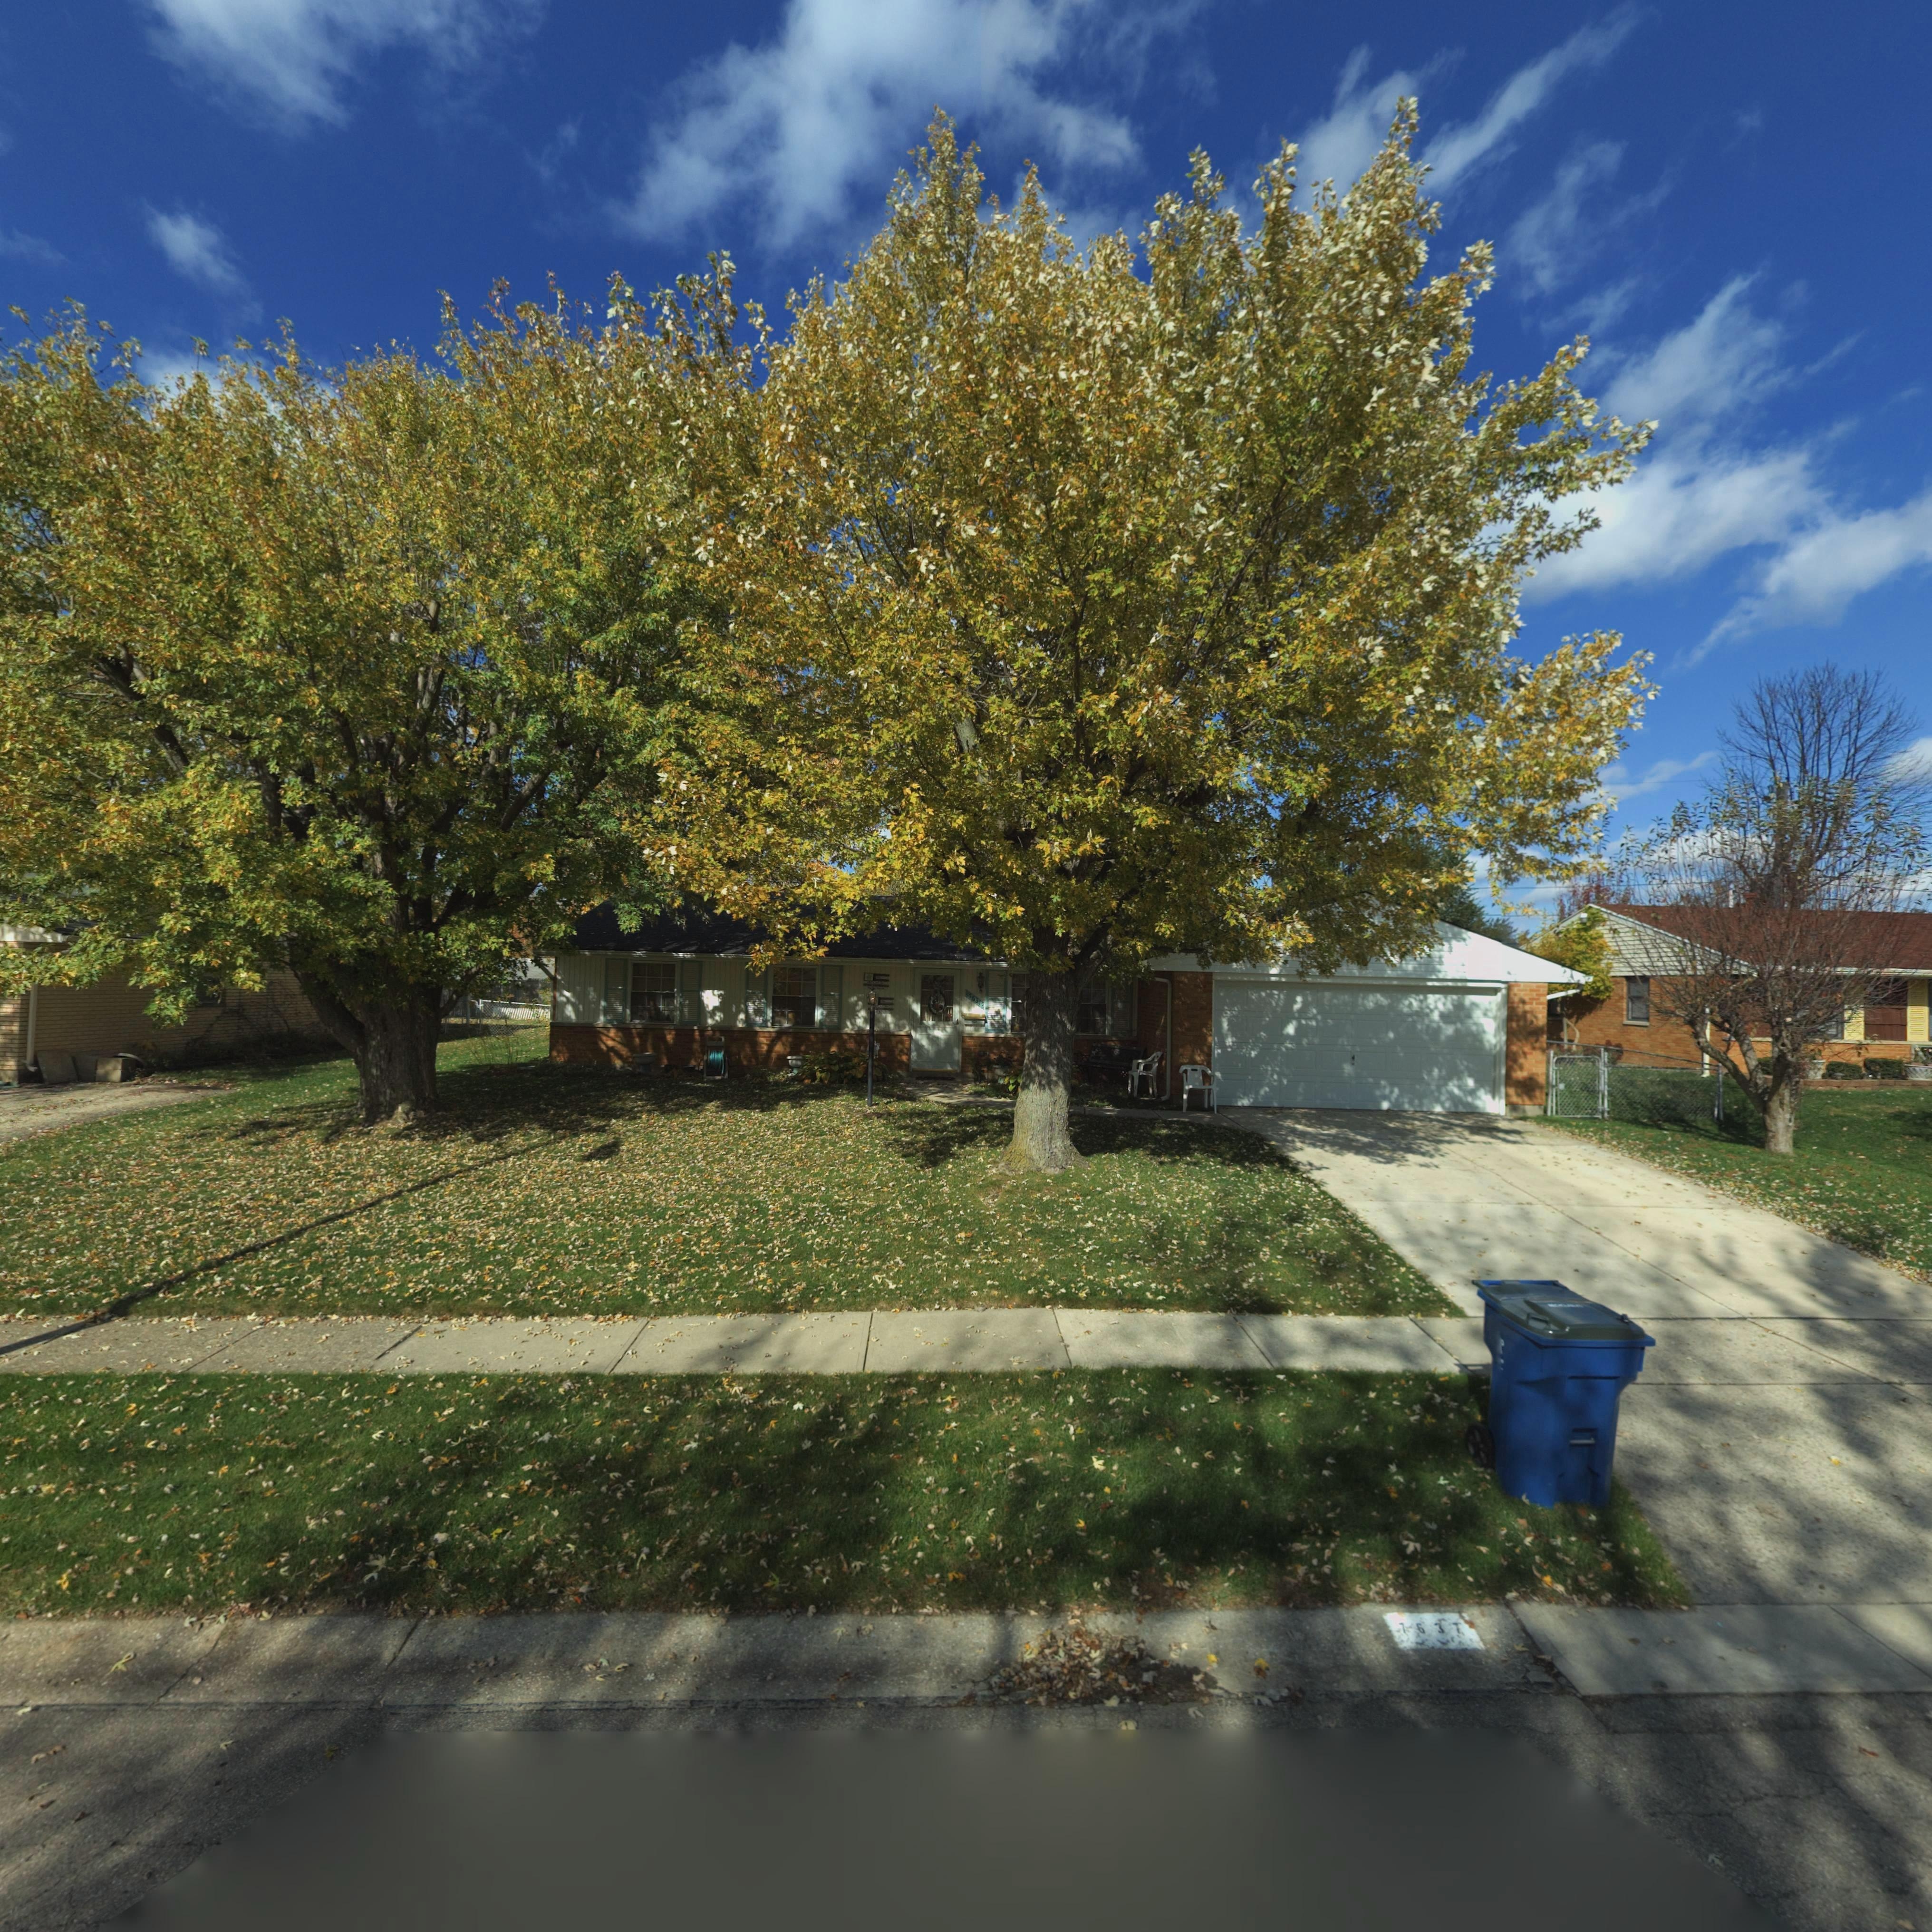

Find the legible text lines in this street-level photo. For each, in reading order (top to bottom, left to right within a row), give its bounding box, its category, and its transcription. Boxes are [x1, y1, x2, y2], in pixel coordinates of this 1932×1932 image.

[968, 992, 982, 1006] StreetNumber: 7637
[1397, 1622, 1462, 1635] StreetNumber: 7637